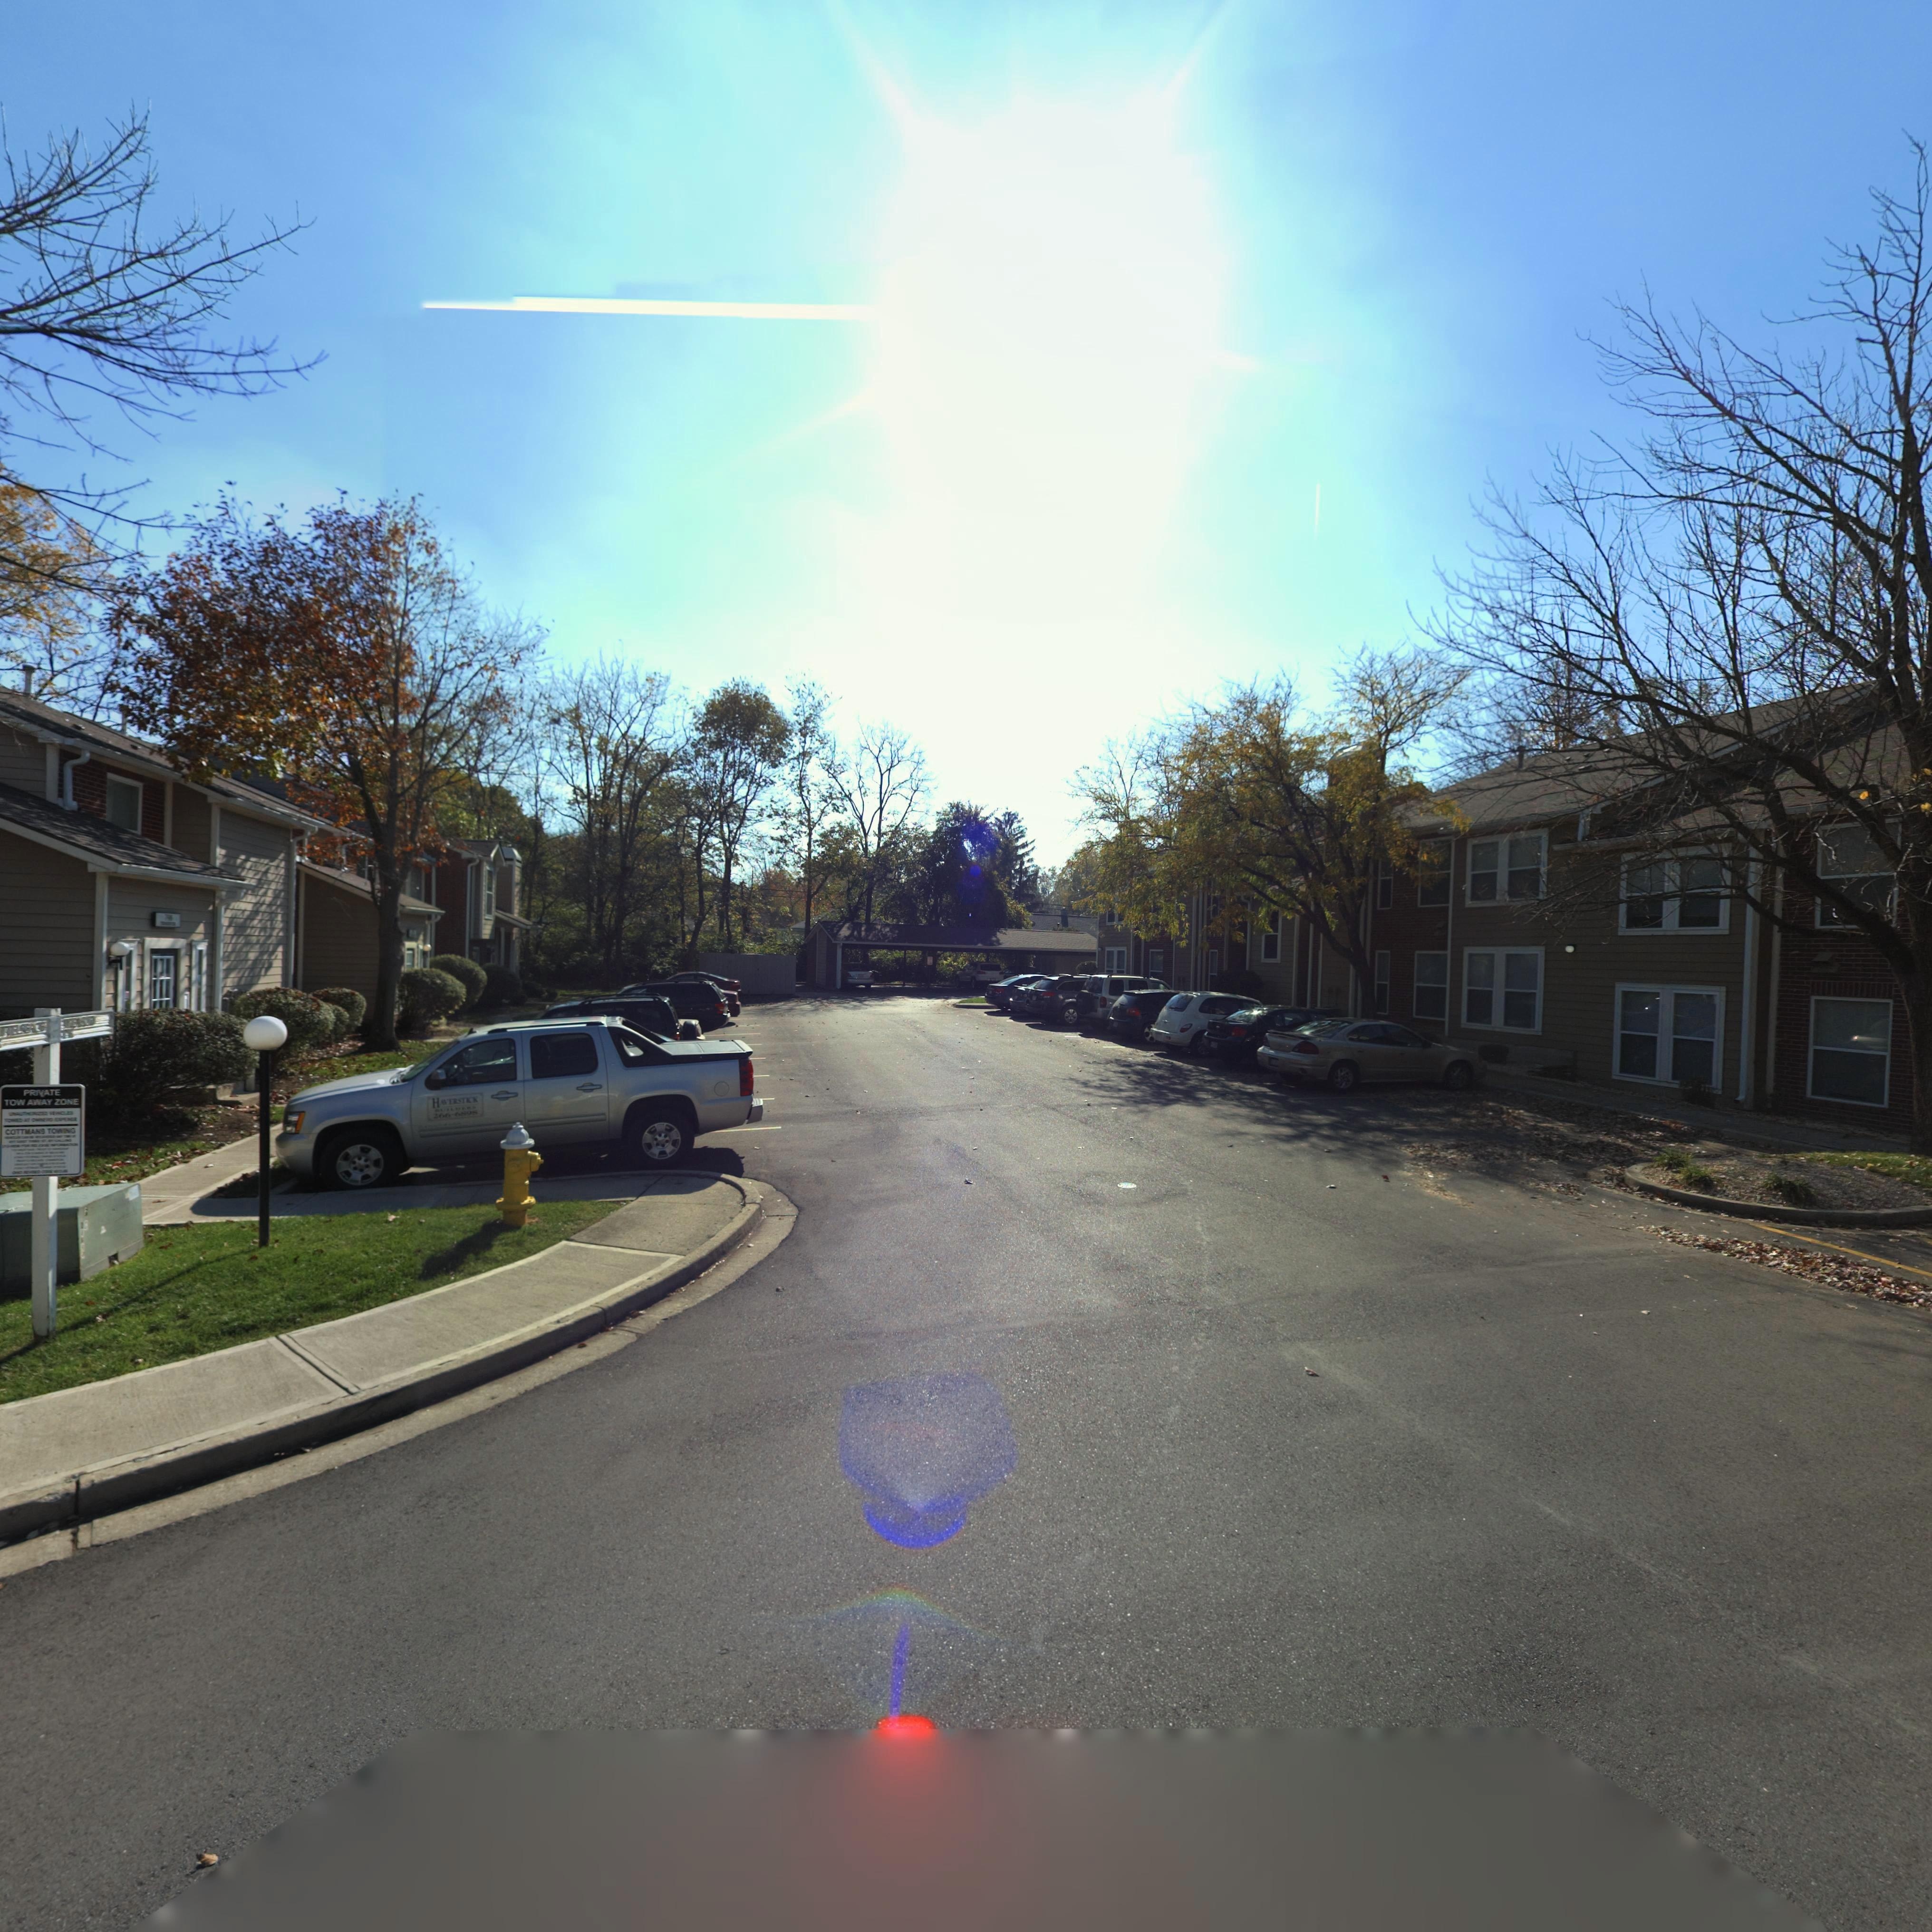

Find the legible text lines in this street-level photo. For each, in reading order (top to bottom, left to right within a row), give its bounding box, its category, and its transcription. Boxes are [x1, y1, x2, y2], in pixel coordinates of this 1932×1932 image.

[22, 1087, 63, 1098] None: PRI*ATE
[2, 1096, 81, 1108] None: TOW AWAY ZONE
[431, 1096, 441, 1110] None: H